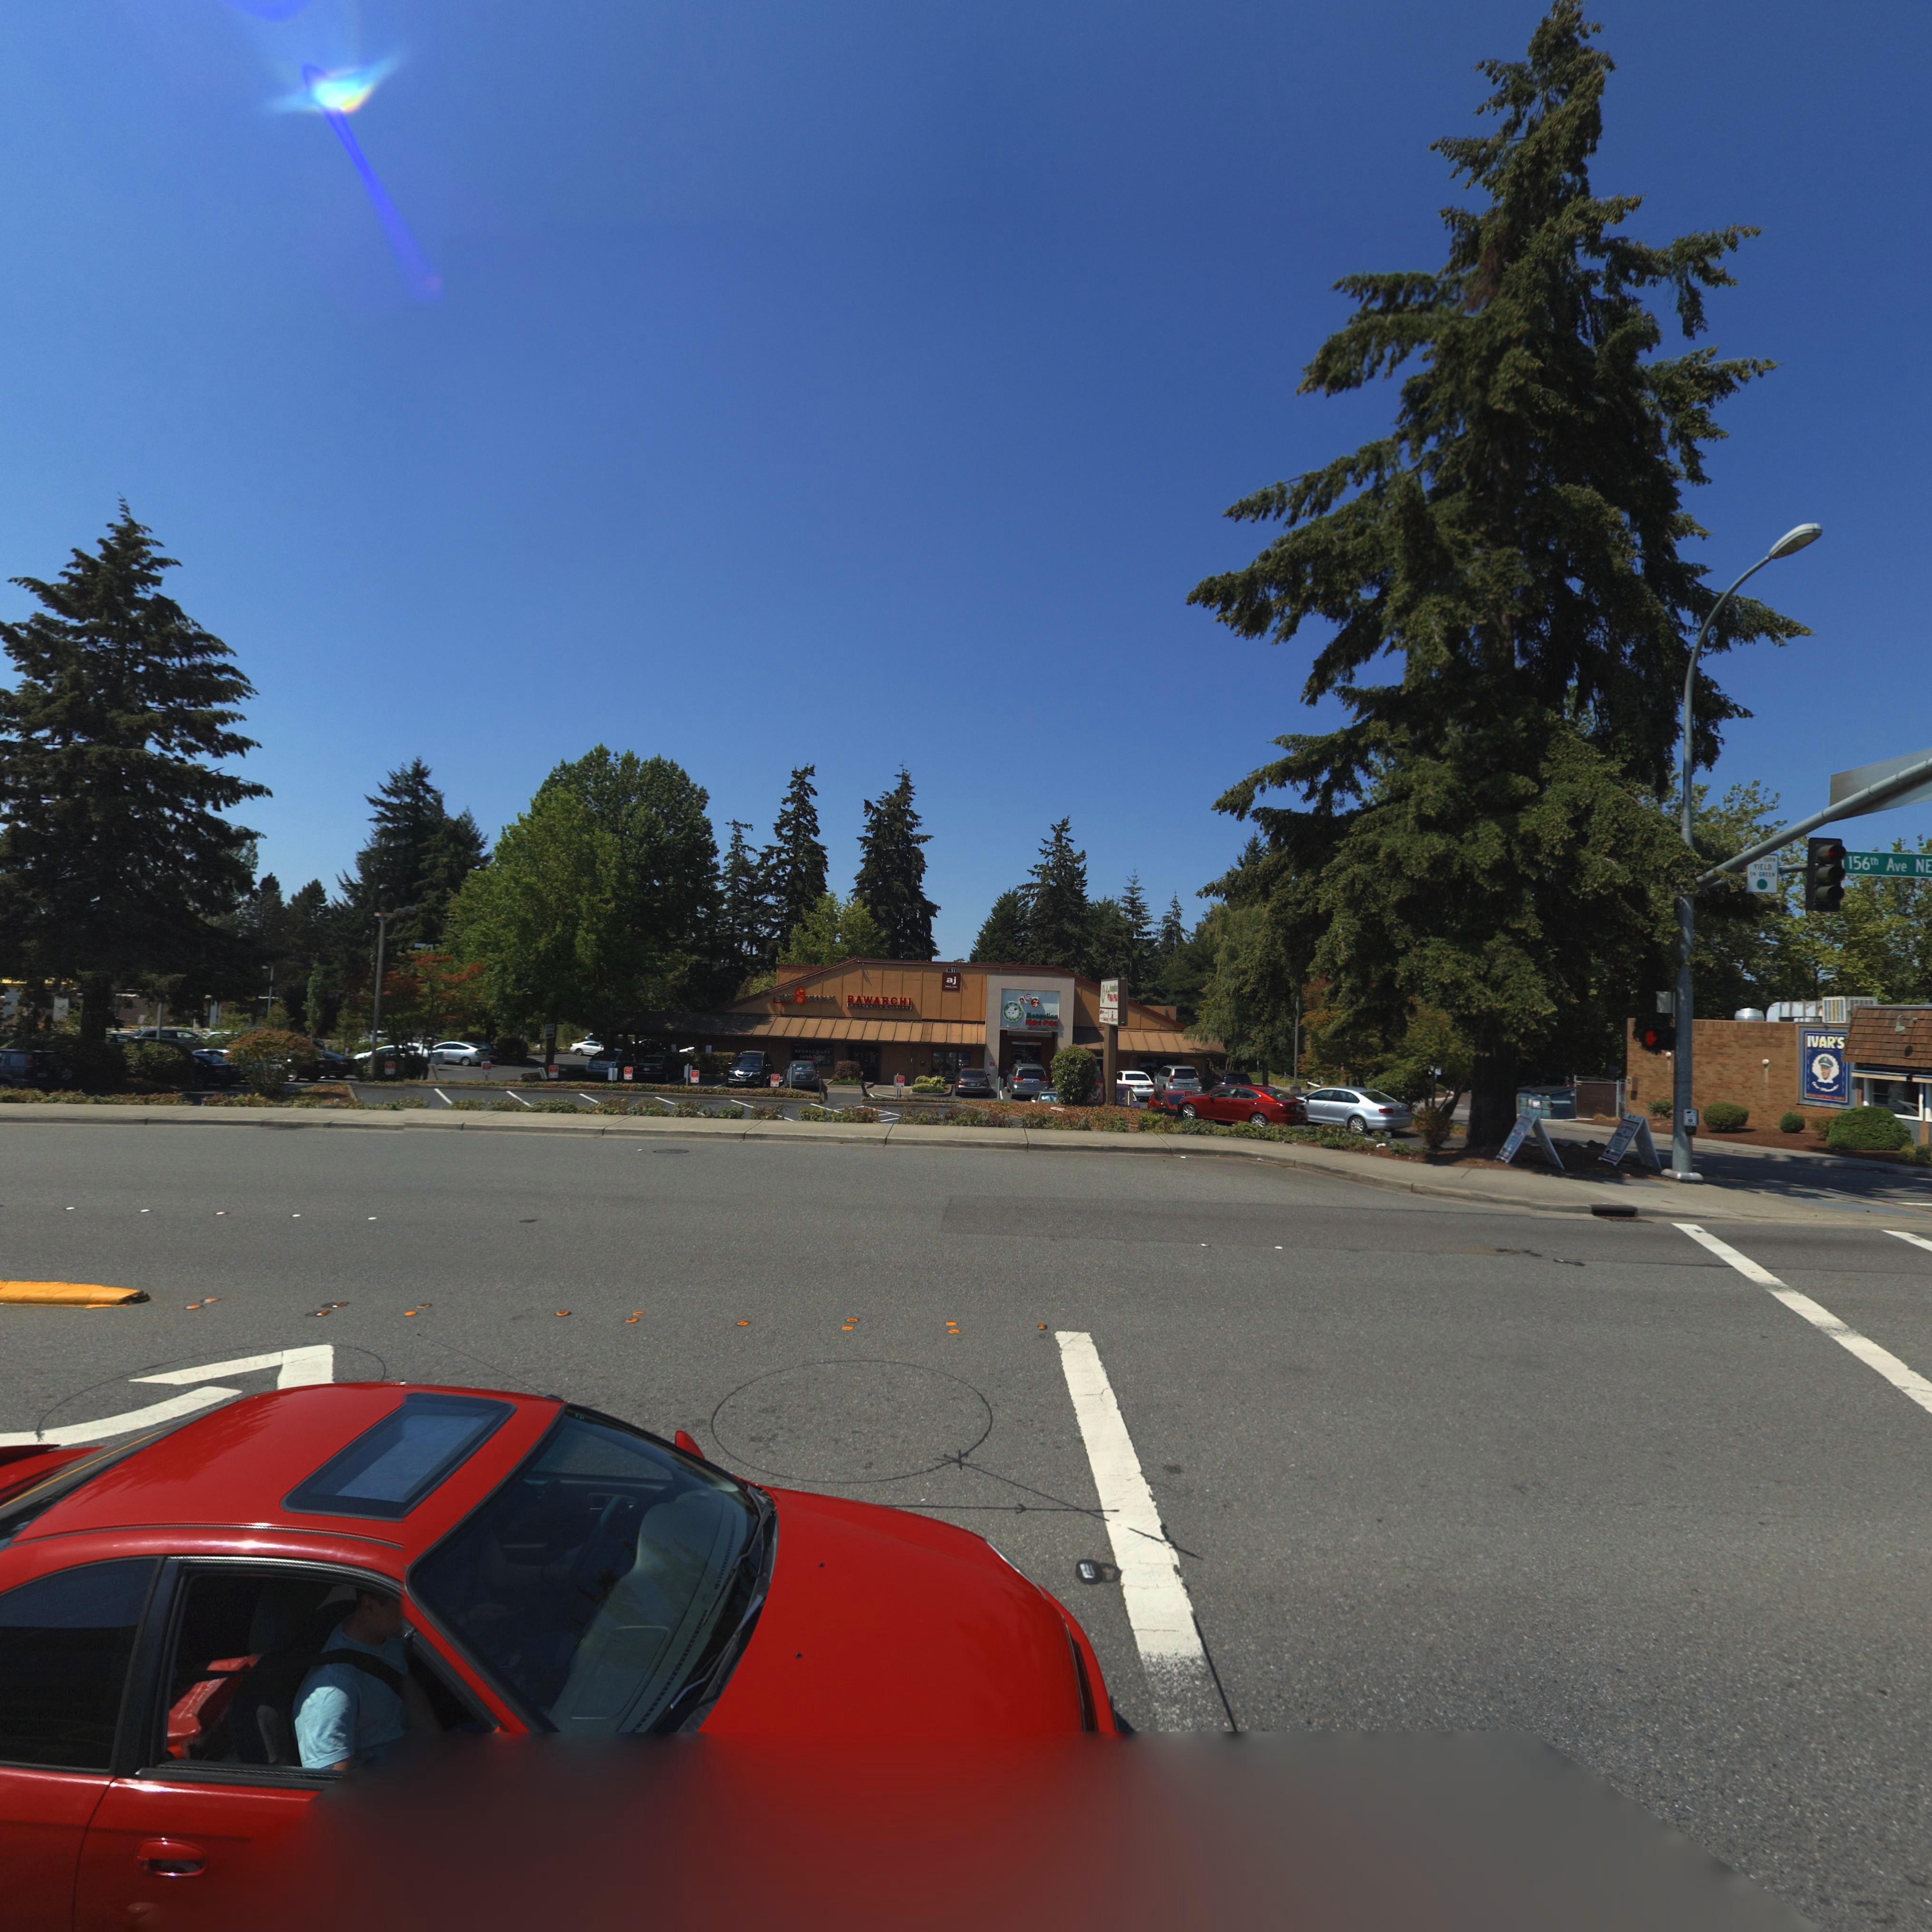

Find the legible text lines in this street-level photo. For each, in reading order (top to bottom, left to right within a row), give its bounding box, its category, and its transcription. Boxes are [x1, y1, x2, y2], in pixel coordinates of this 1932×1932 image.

[1847, 855, 1932, 874] StreetName: 156th Ave N*
[945, 976, 957, 985] BusinessName: aj
[846, 995, 912, 1005] BusinessName: BAWARCHI
[1025, 1019, 1058, 1026] BusinessName: Hot Pot
[1807, 1035, 1845, 1050] BusinessName: IVAR'S